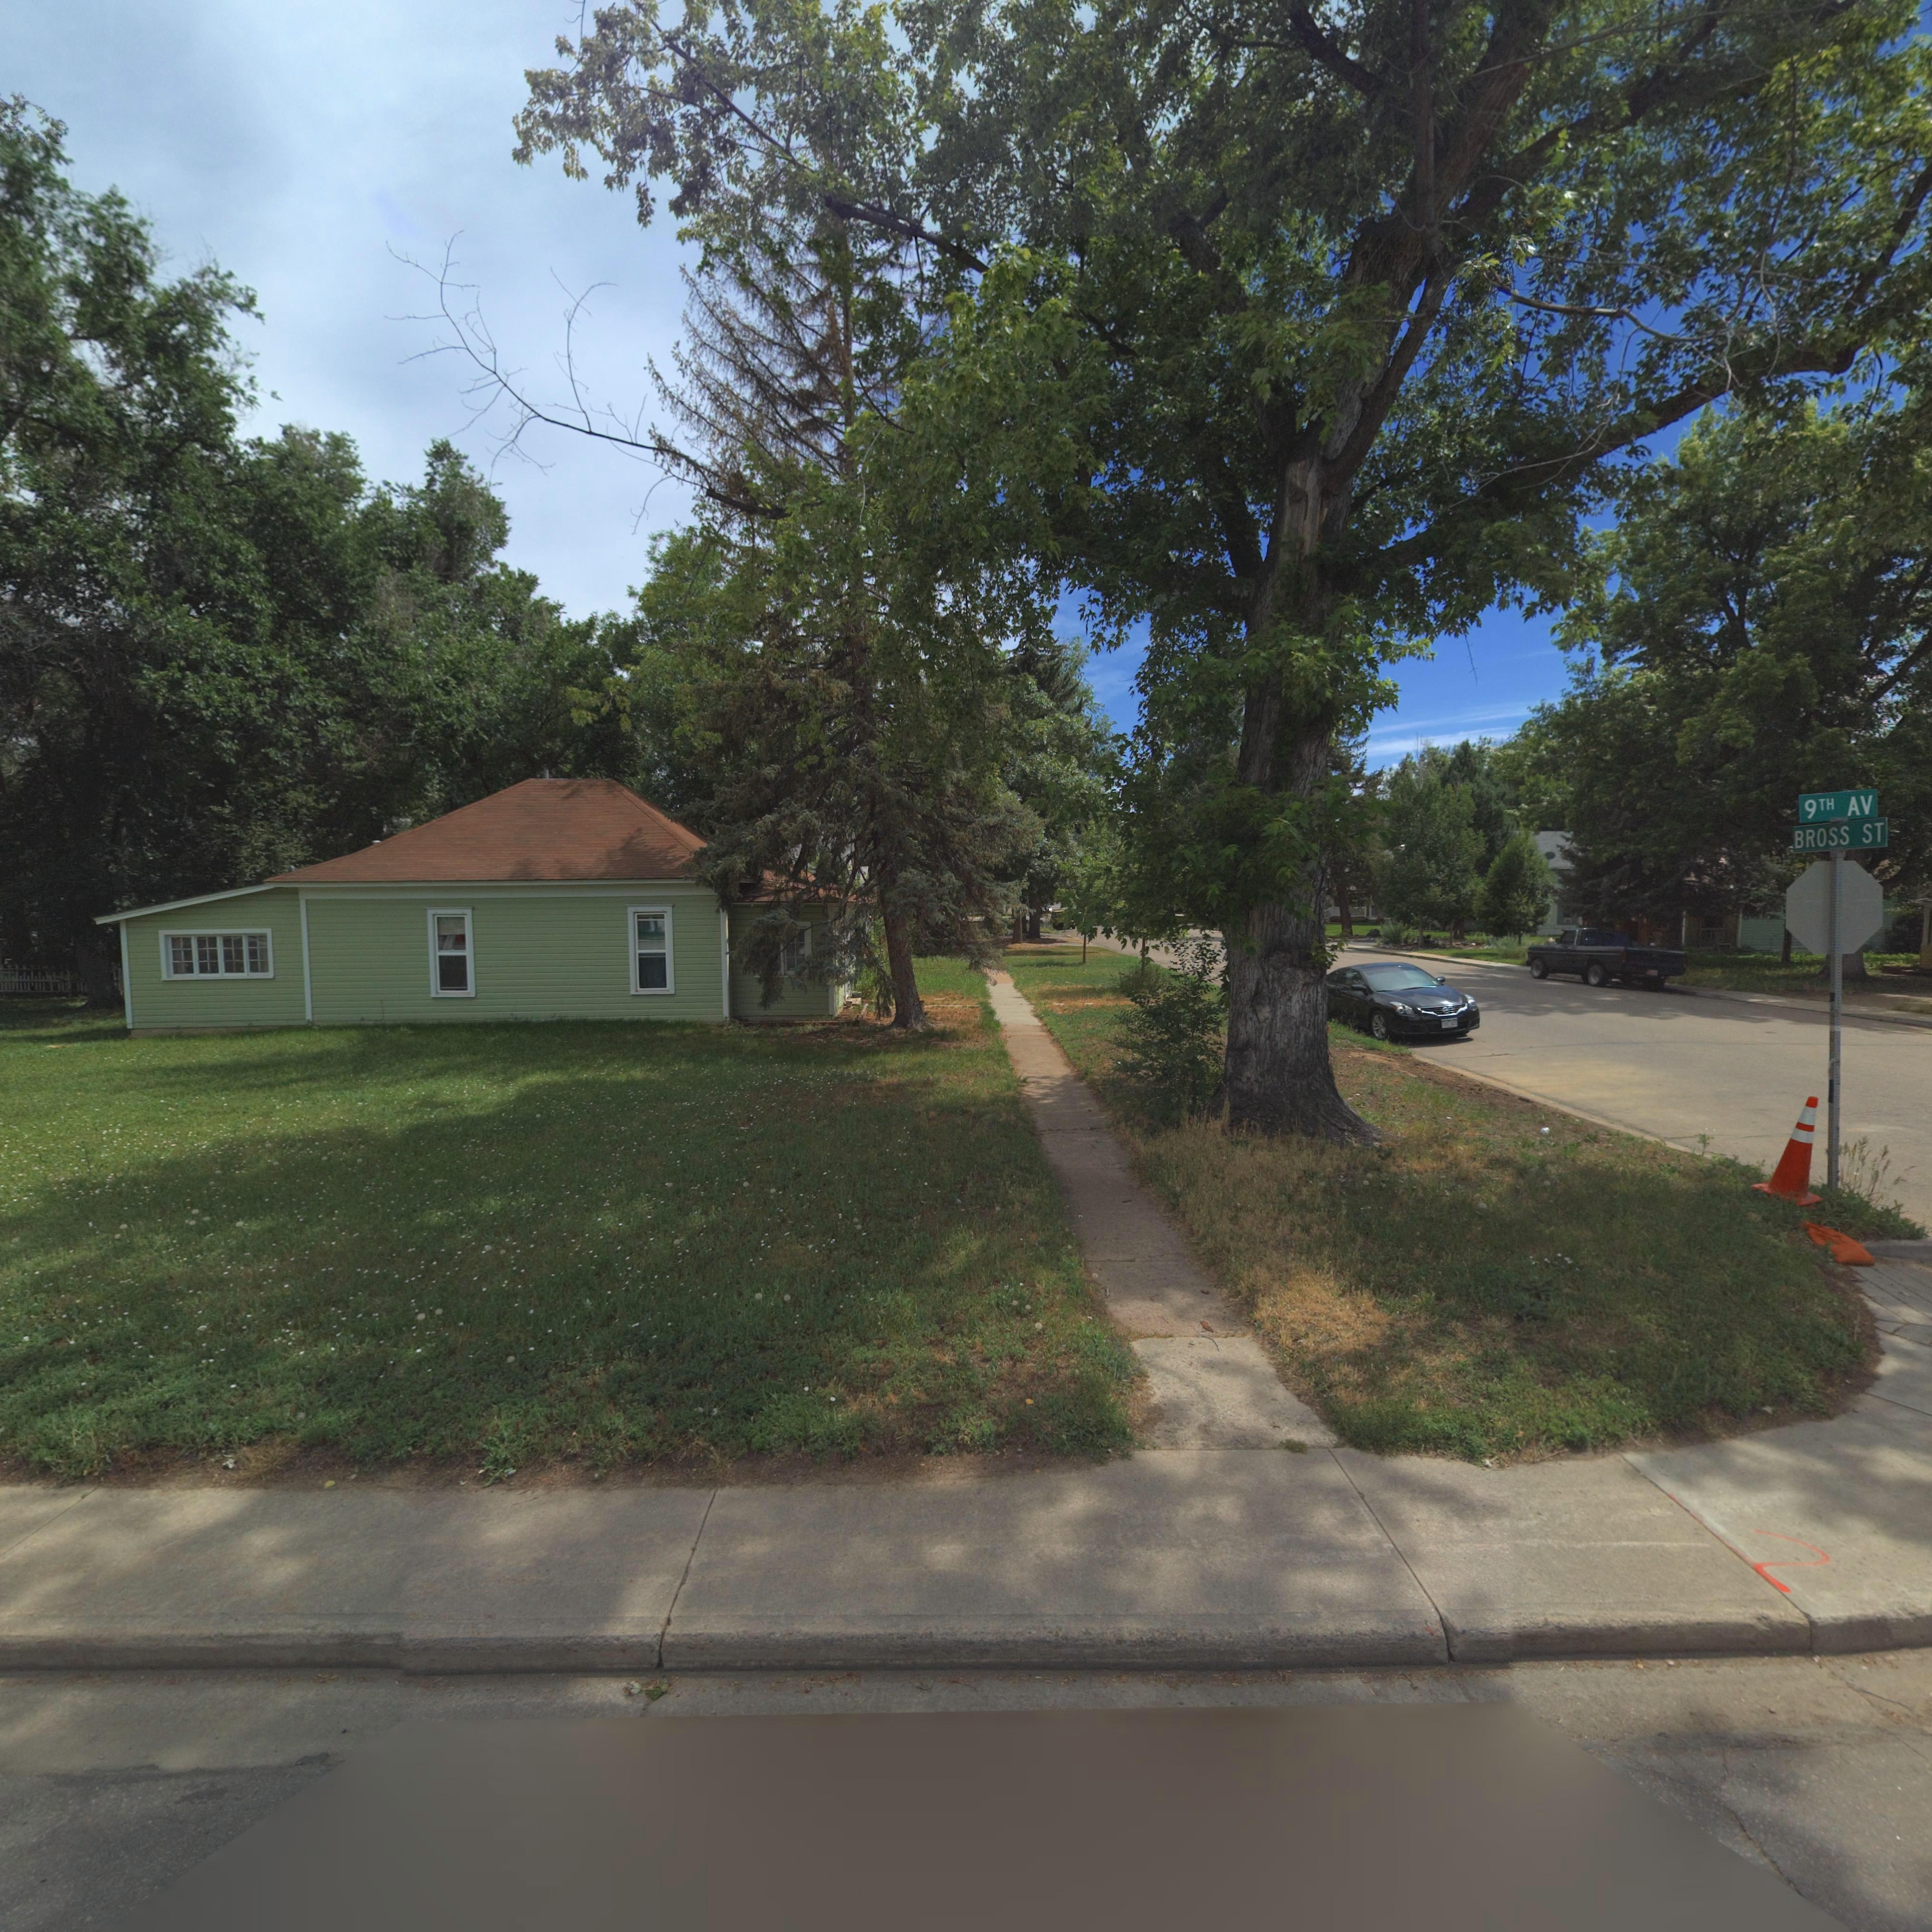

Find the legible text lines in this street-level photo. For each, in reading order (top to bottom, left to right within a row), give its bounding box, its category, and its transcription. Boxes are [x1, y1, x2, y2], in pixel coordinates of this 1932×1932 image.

[1803, 794, 1874, 819] StreetName: 9TH AV
[1793, 821, 1885, 850] StreetName: BROSS ST